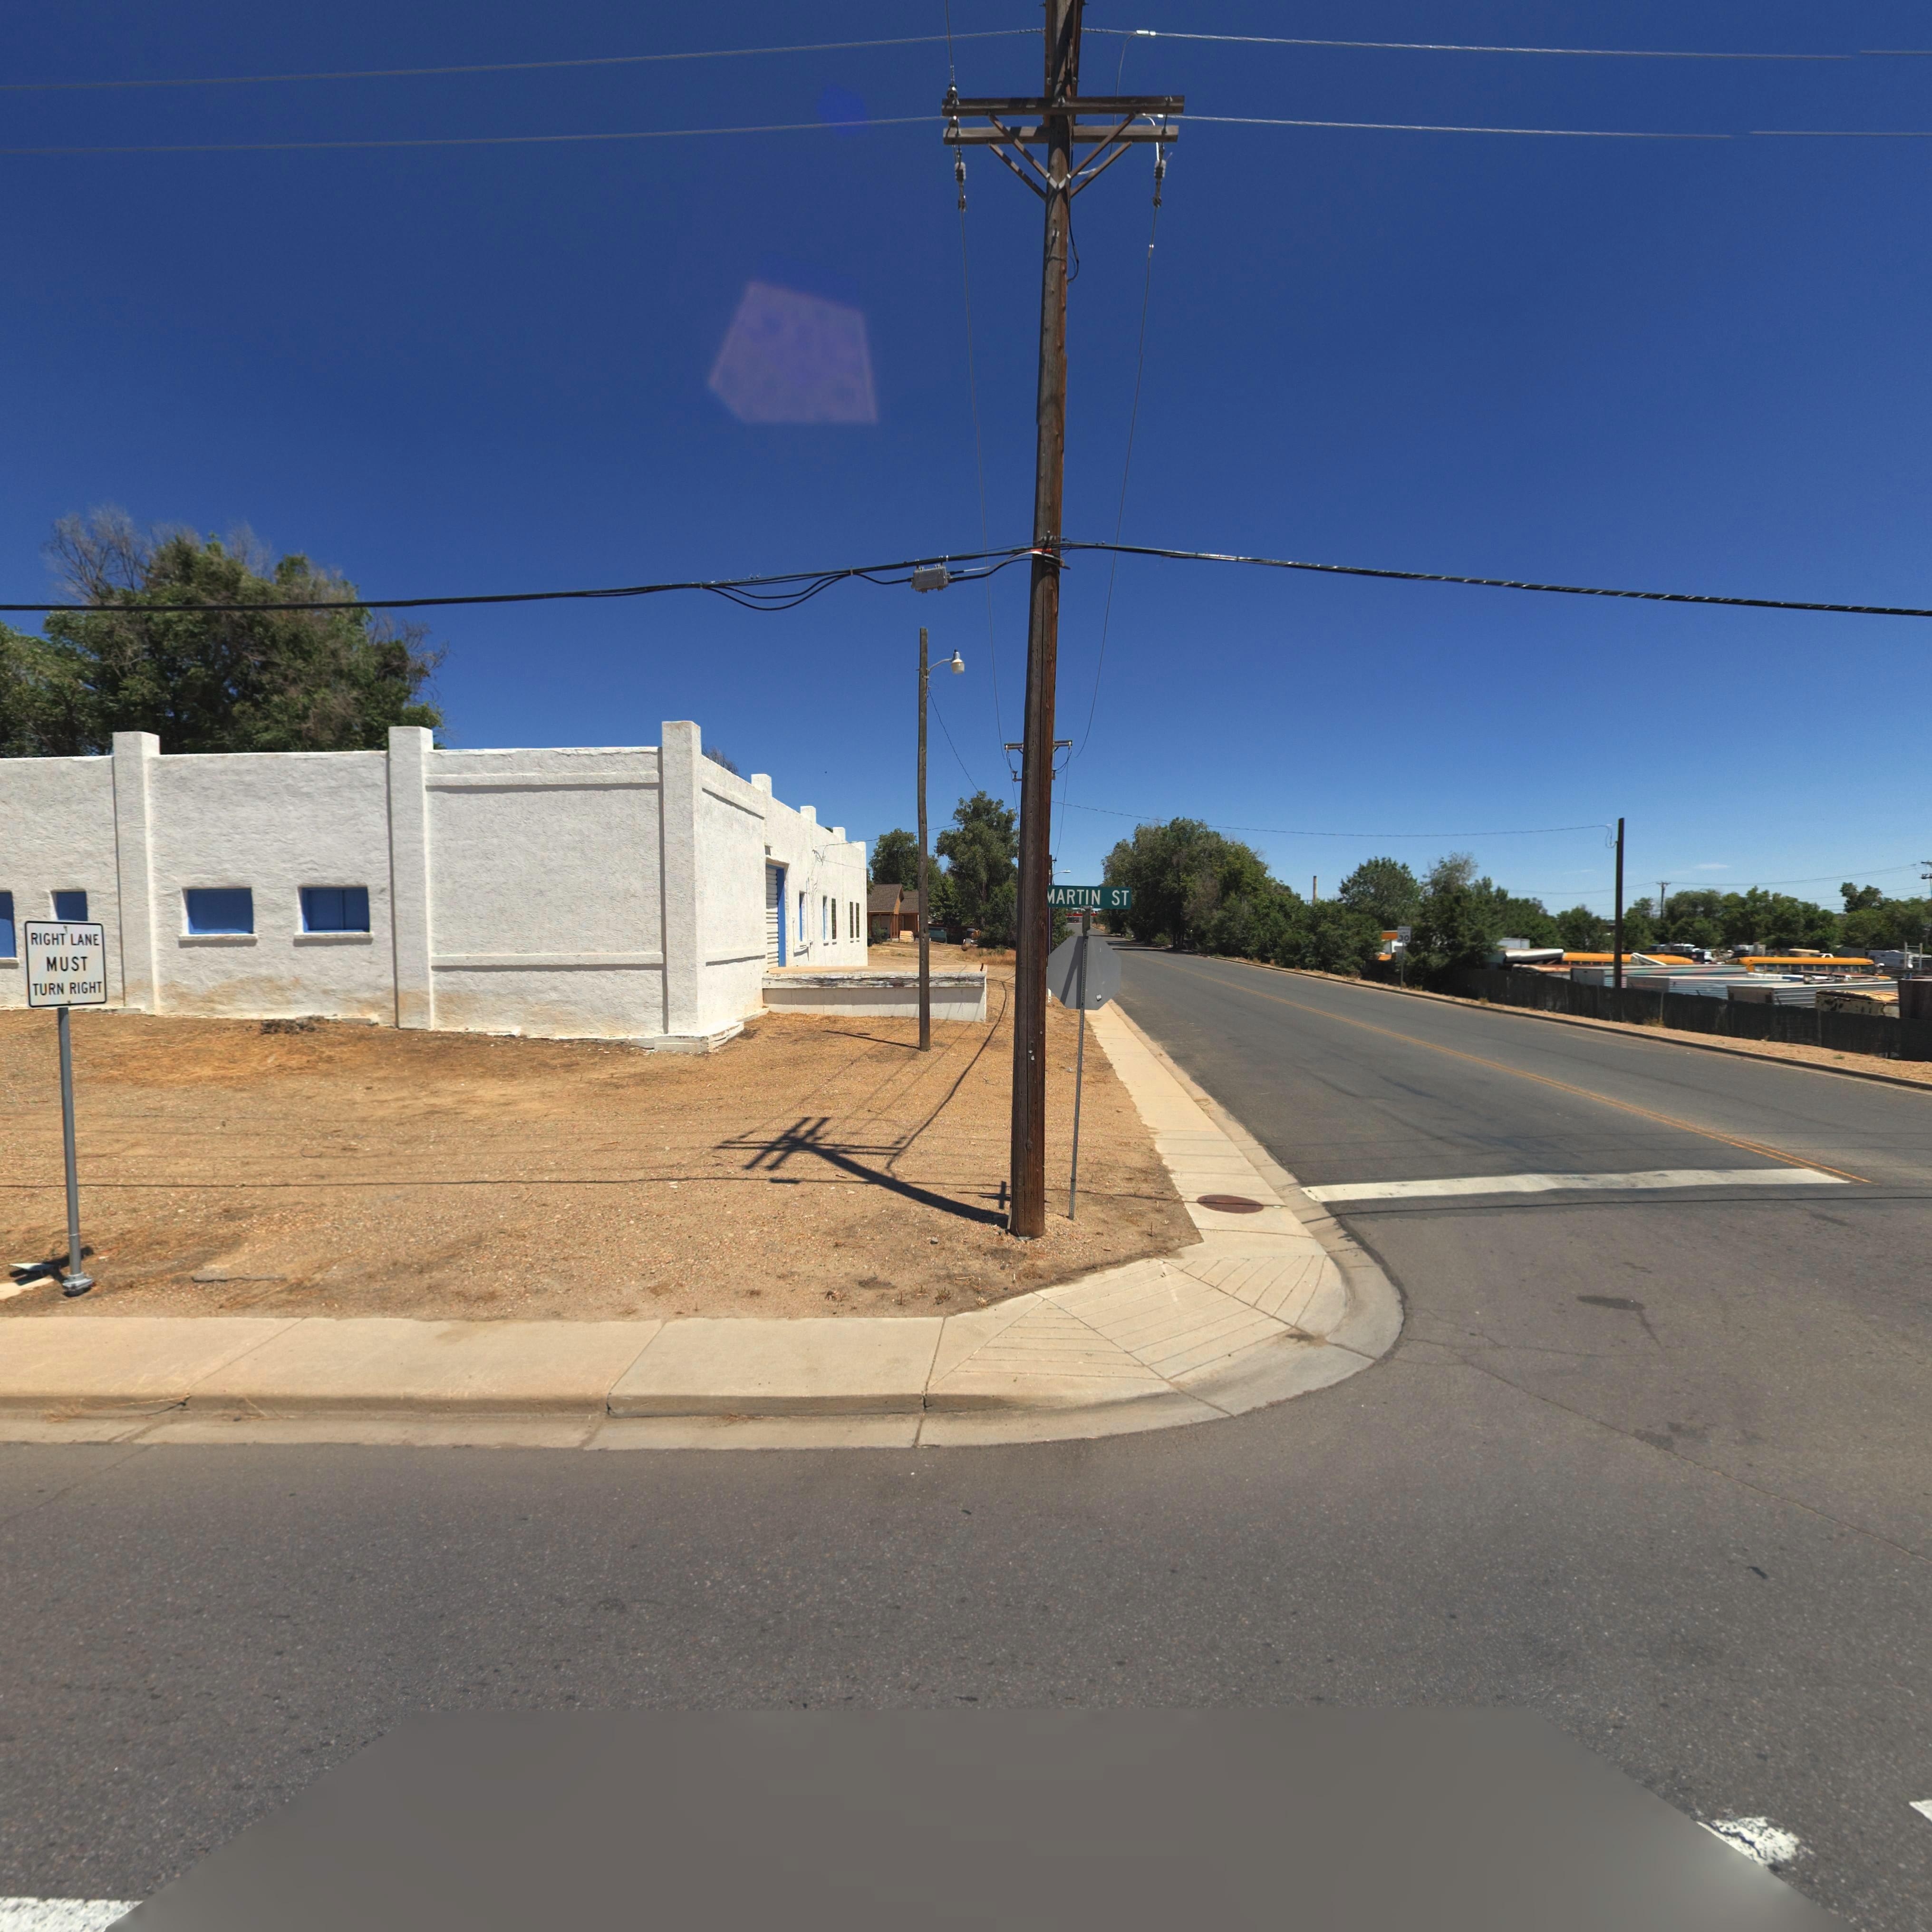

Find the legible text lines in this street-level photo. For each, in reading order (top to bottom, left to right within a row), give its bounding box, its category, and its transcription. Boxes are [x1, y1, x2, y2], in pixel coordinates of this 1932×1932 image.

[1055, 888, 1130, 906] StreetName: ARTIN ST